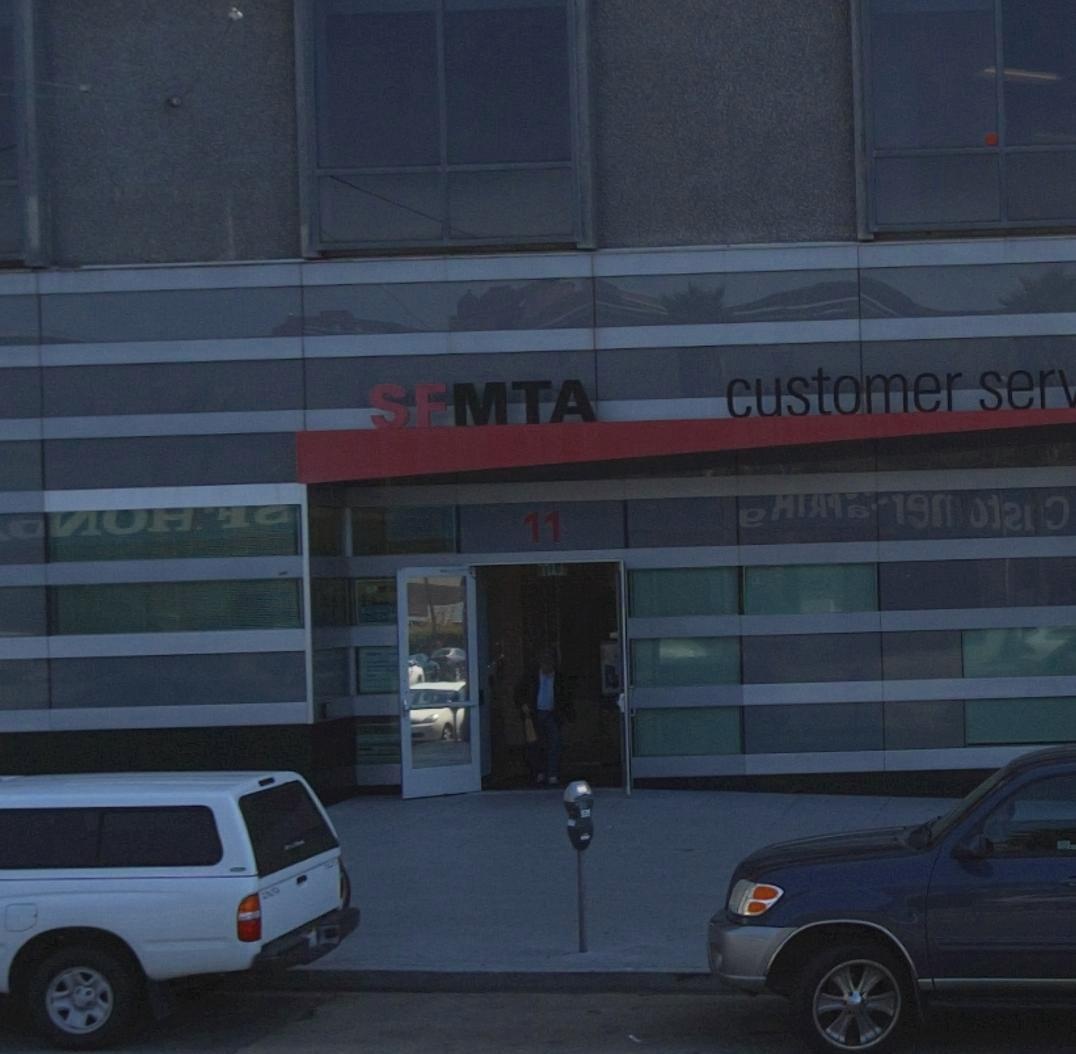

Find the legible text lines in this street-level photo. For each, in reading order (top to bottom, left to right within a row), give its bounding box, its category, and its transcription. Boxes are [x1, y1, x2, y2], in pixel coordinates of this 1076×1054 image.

[367, 378, 603, 432] BusinessName: SFMTA
[724, 365, 1059, 418] None: customer ser
[524, 511, 562, 544] StreetNumber: 11